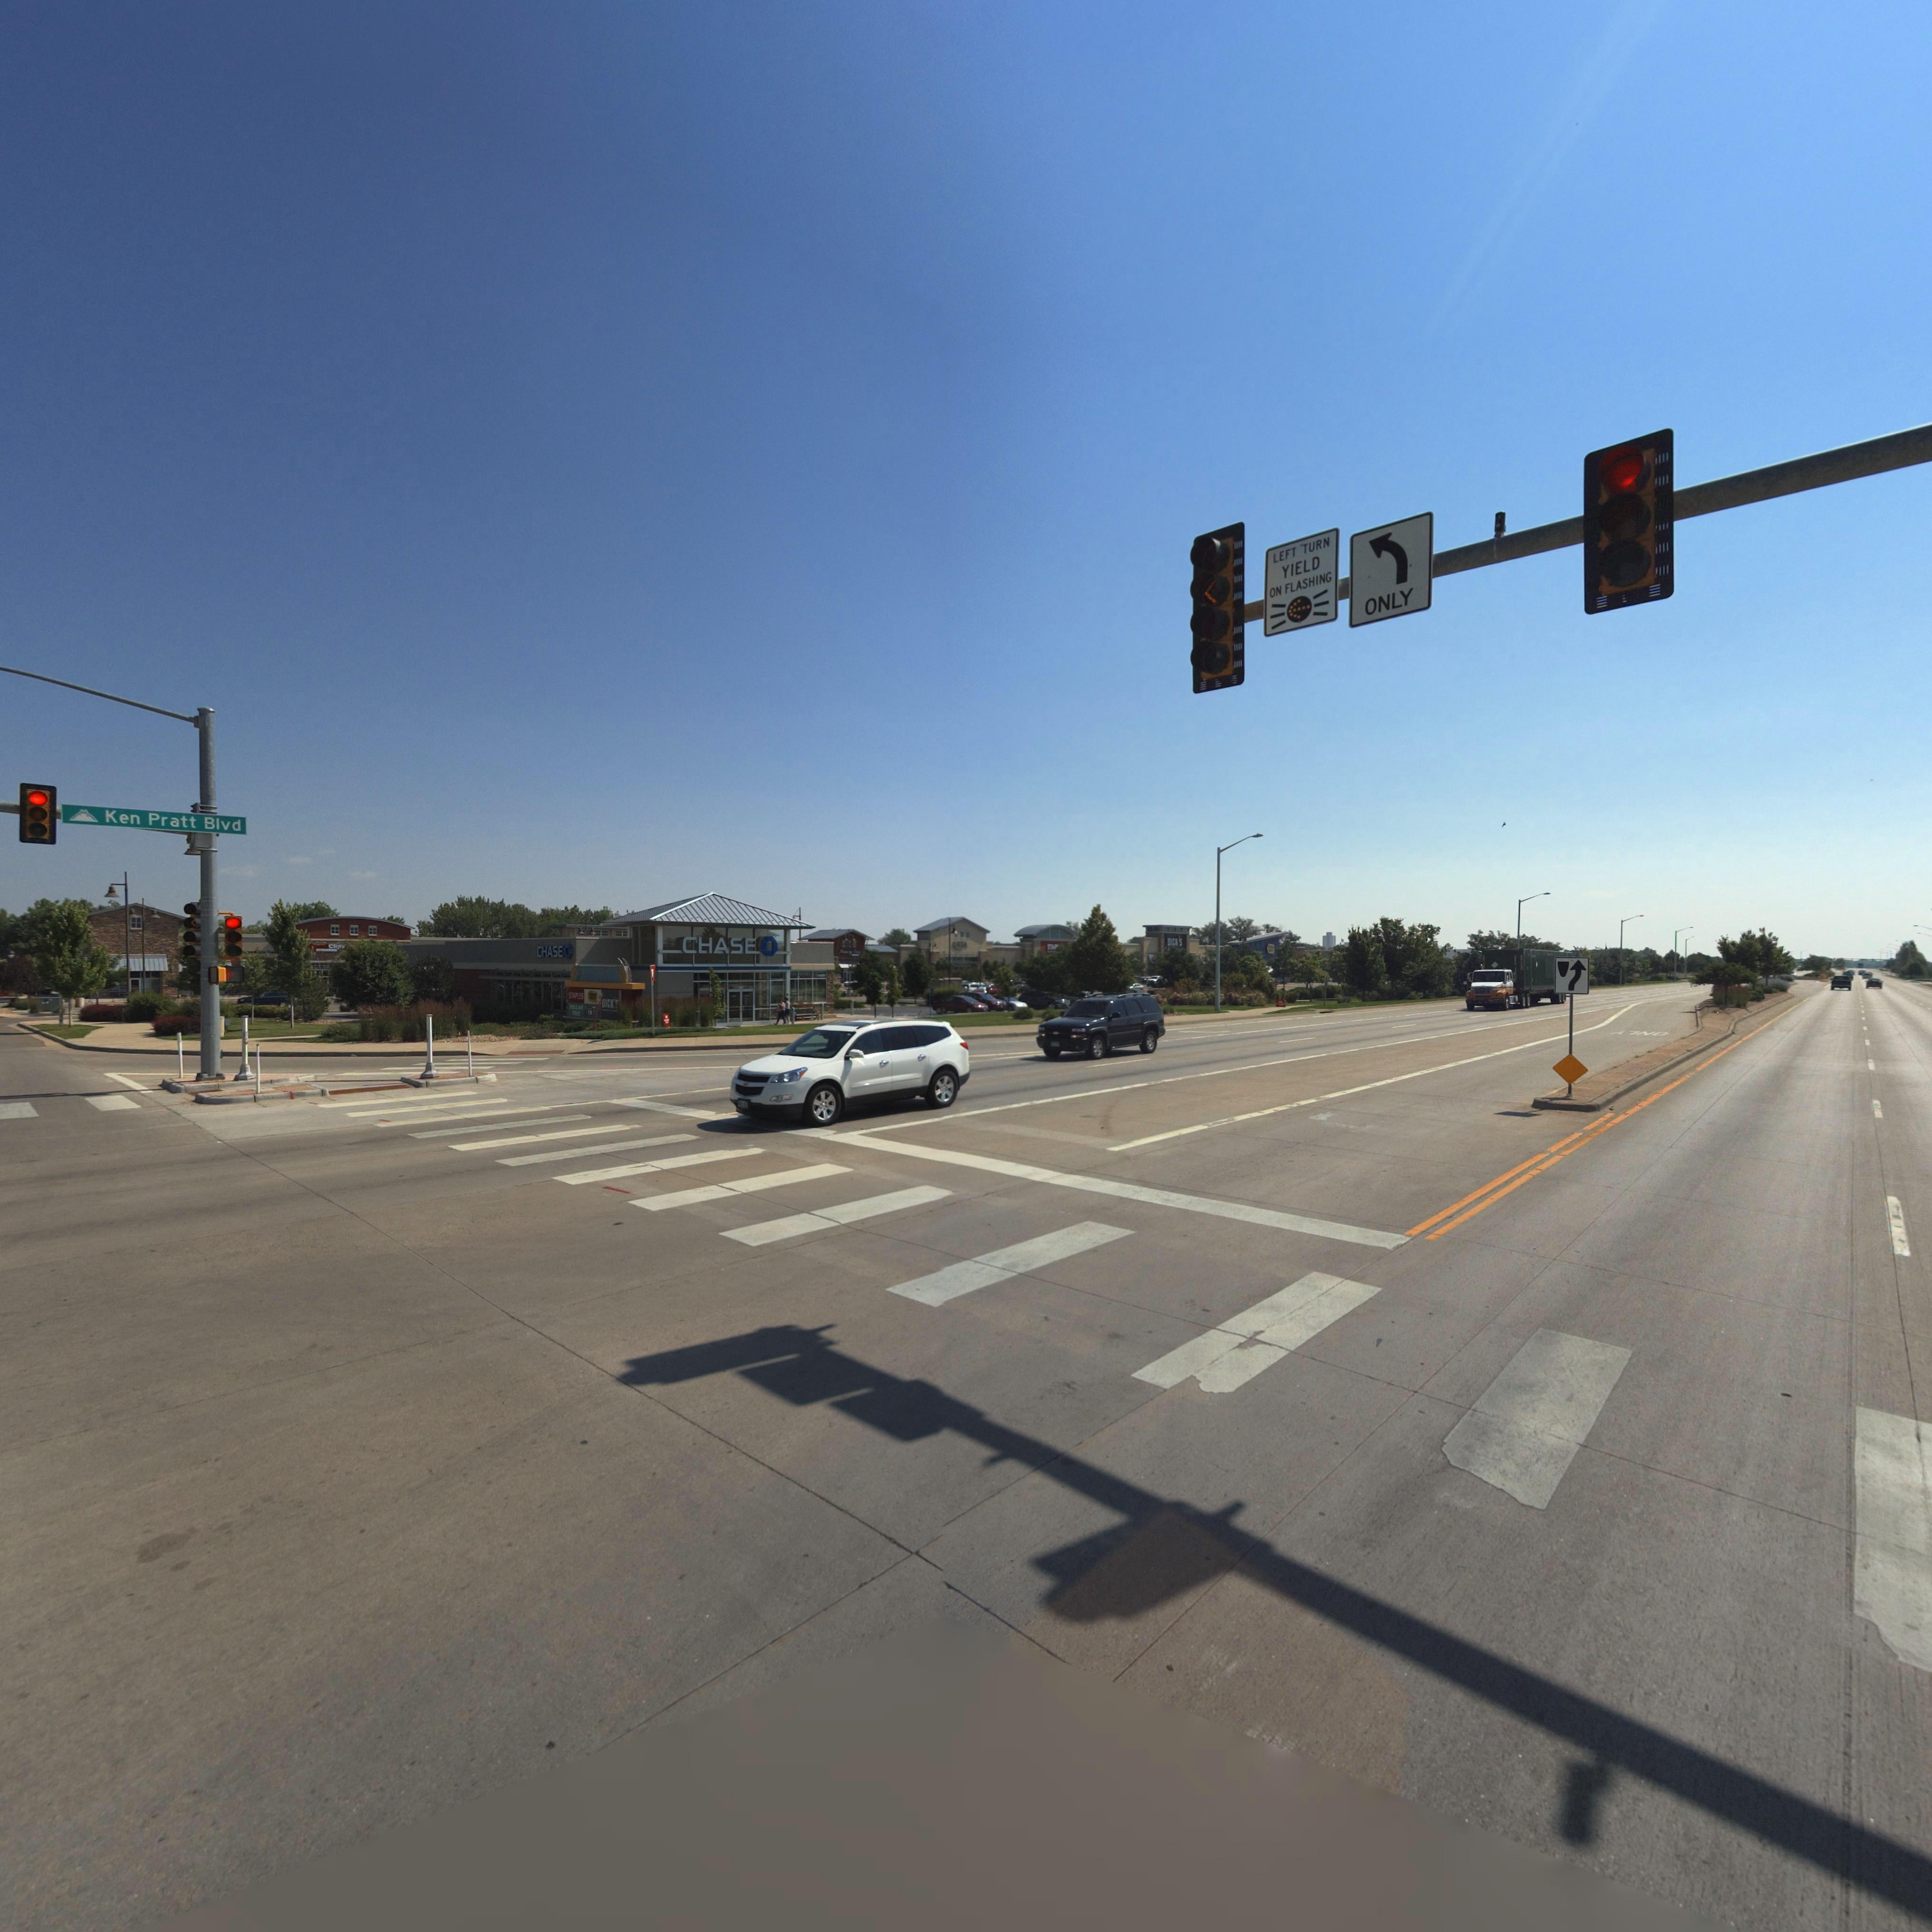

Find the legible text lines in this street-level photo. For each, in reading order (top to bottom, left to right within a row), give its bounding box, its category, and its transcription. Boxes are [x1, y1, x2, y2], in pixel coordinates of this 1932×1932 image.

[105, 810, 242, 832] BusinessName: Ken Pratt Blvd
[1167, 935, 1183, 946] BusinessName: DICKS
[308, 942, 345, 951] BusinessName: *po***Clips
[536, 945, 564, 957] BusinessName: CHASE
[681, 936, 758, 955] BusinessName: CHASE
[1046, 944, 1062, 950] BusinessName: STAP**
[568, 991, 584, 1000] BusinessName: STAPLES
[589, 995, 596, 1000] BusinessName: BUY*
[589, 992, 597, 998] BusinessName: BEST
[569, 1004, 584, 1010] BusinessName: DOLLAR
[601, 998, 619, 1009] BusinessName: DICK'*
[570, 1010, 581, 1016] BusinessName: TREE